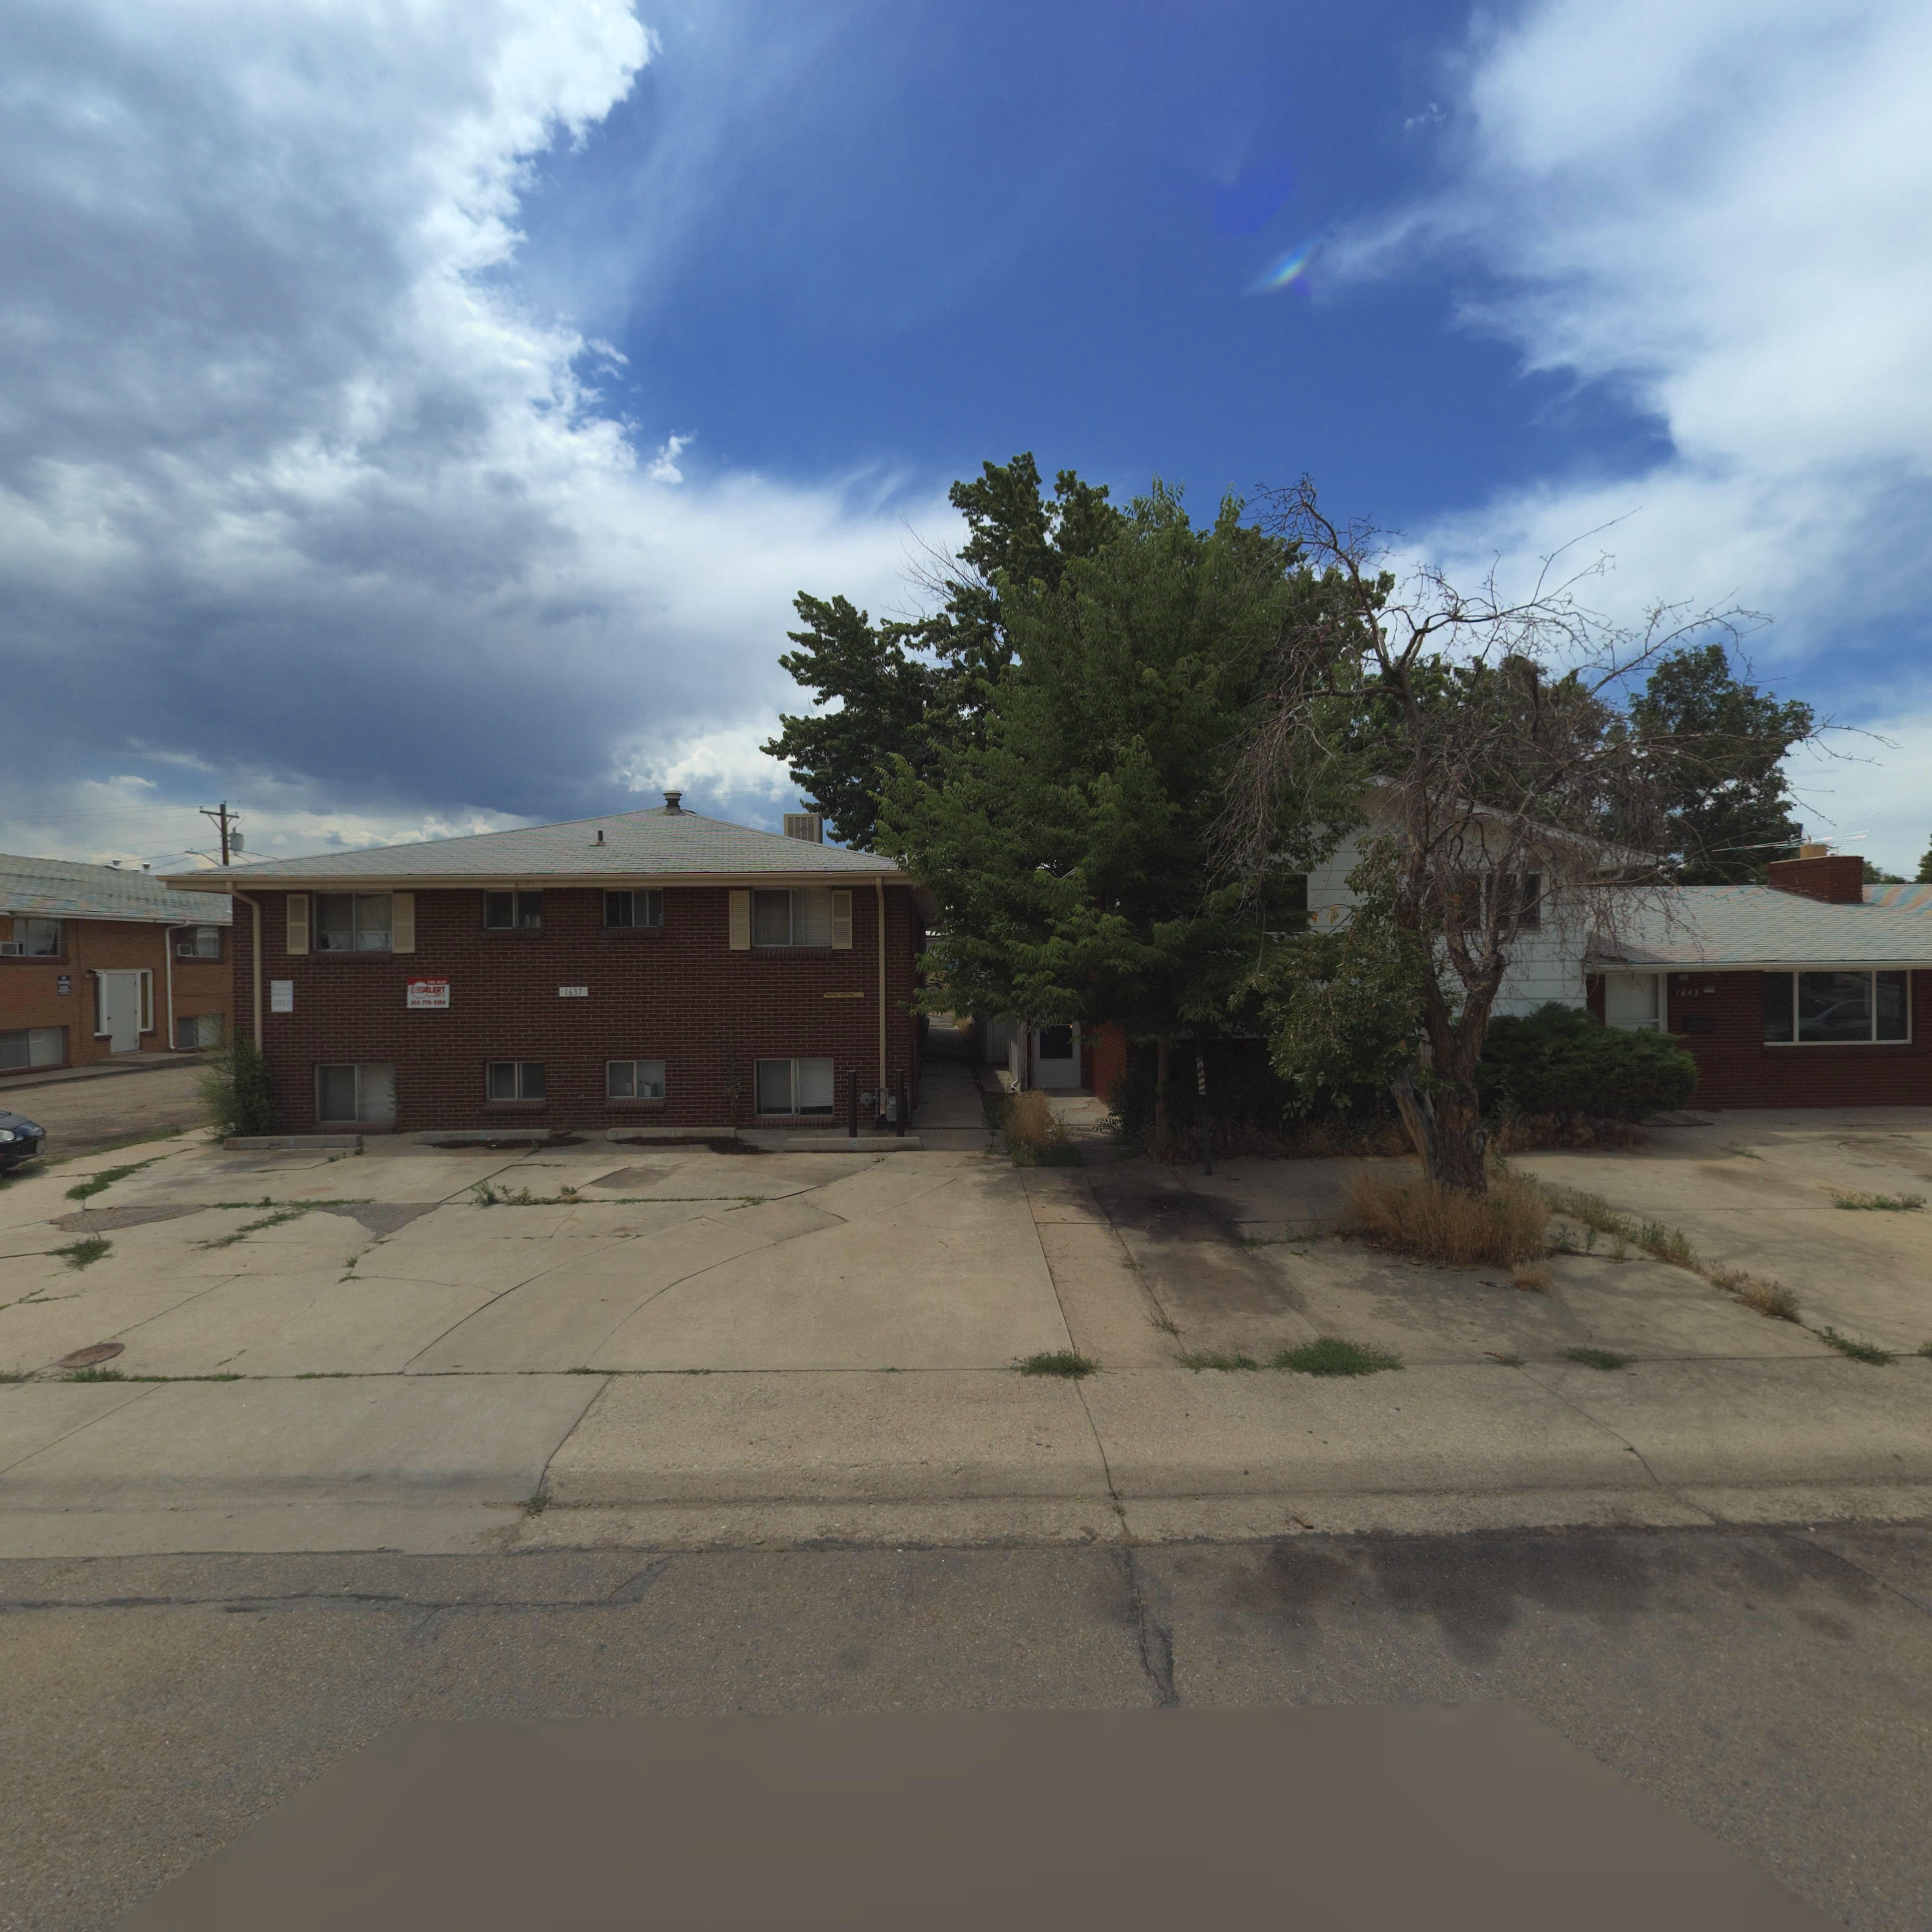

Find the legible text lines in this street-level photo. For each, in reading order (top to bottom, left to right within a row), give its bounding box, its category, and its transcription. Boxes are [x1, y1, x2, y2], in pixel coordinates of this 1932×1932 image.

[564, 987, 583, 996] StreetNumber: 1637
[1675, 988, 1699, 997] StreetNumber: 1643